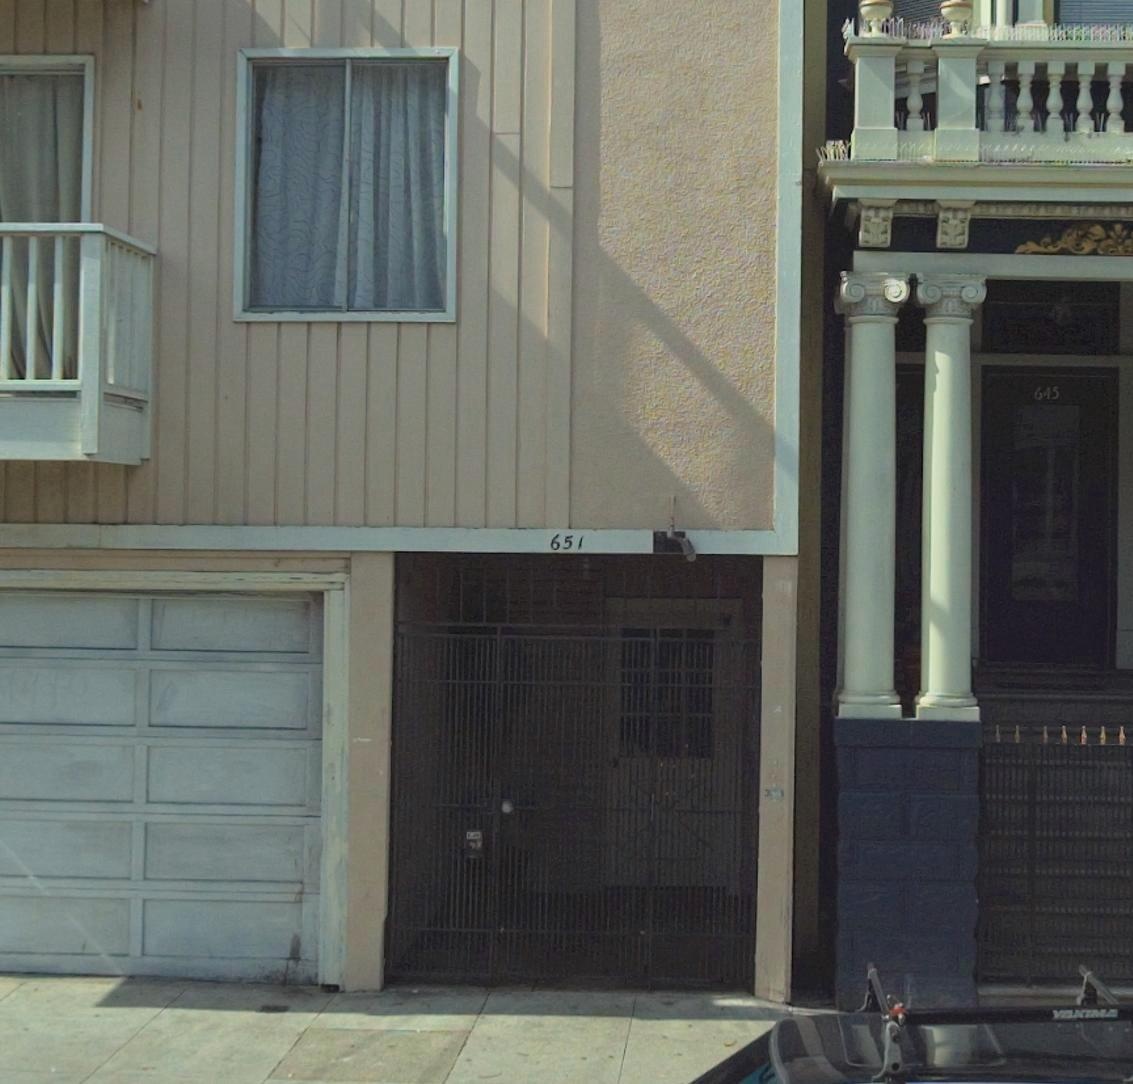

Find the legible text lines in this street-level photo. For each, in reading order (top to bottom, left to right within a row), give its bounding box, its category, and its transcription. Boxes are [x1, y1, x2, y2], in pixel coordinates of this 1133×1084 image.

[1030, 384, 1062, 403] StreetNumber: 645
[547, 532, 586, 552] StreetNumber: 651